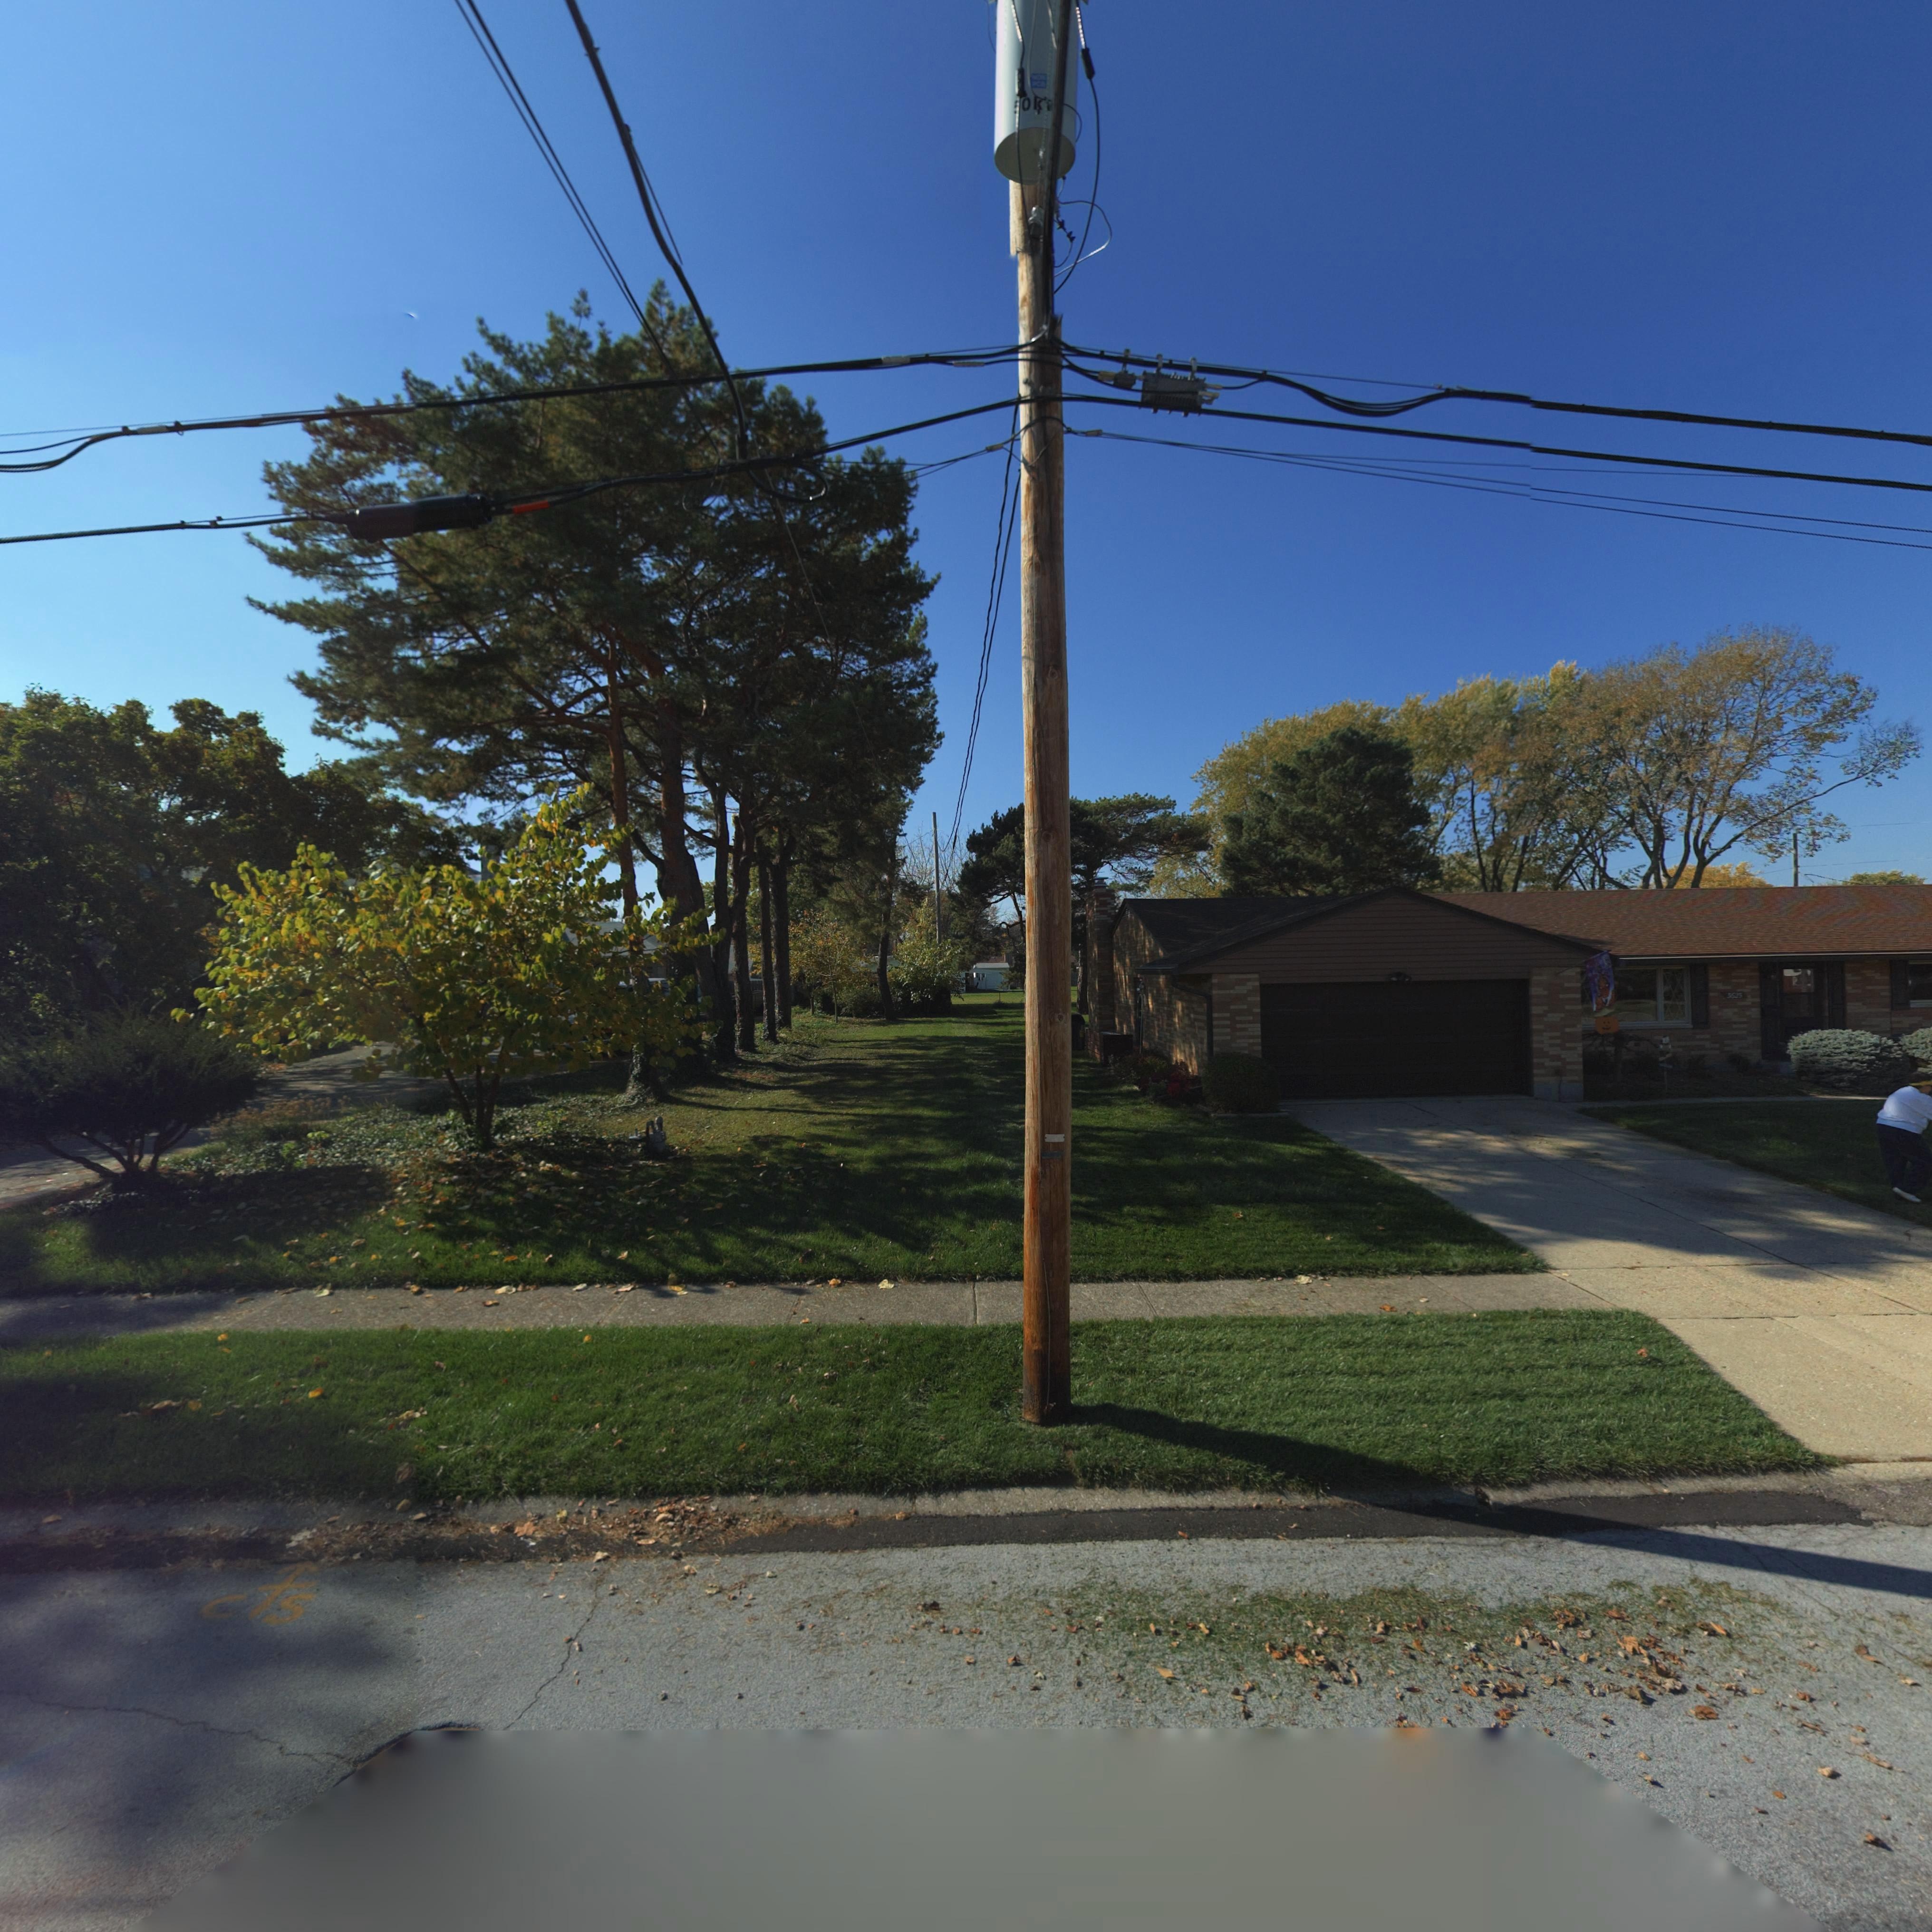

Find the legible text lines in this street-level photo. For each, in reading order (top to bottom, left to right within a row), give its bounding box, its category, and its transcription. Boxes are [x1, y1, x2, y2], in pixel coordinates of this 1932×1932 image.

[1726, 991, 1744, 1000] StreetNumber: 36*5